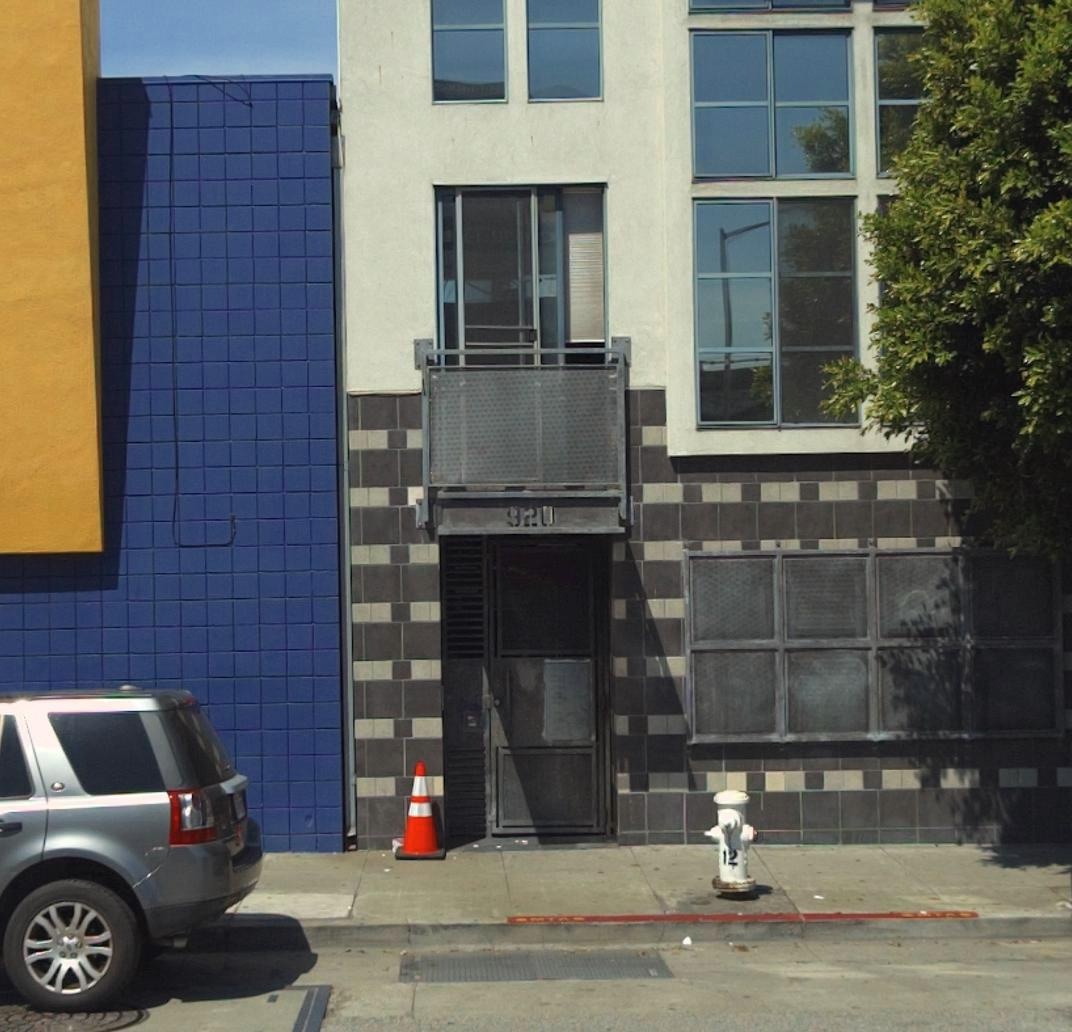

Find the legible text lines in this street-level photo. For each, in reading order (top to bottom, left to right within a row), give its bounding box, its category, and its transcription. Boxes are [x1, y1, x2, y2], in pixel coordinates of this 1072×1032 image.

[506, 505, 556, 528] StreetNumber: 920
[722, 849, 738, 866] None: 12